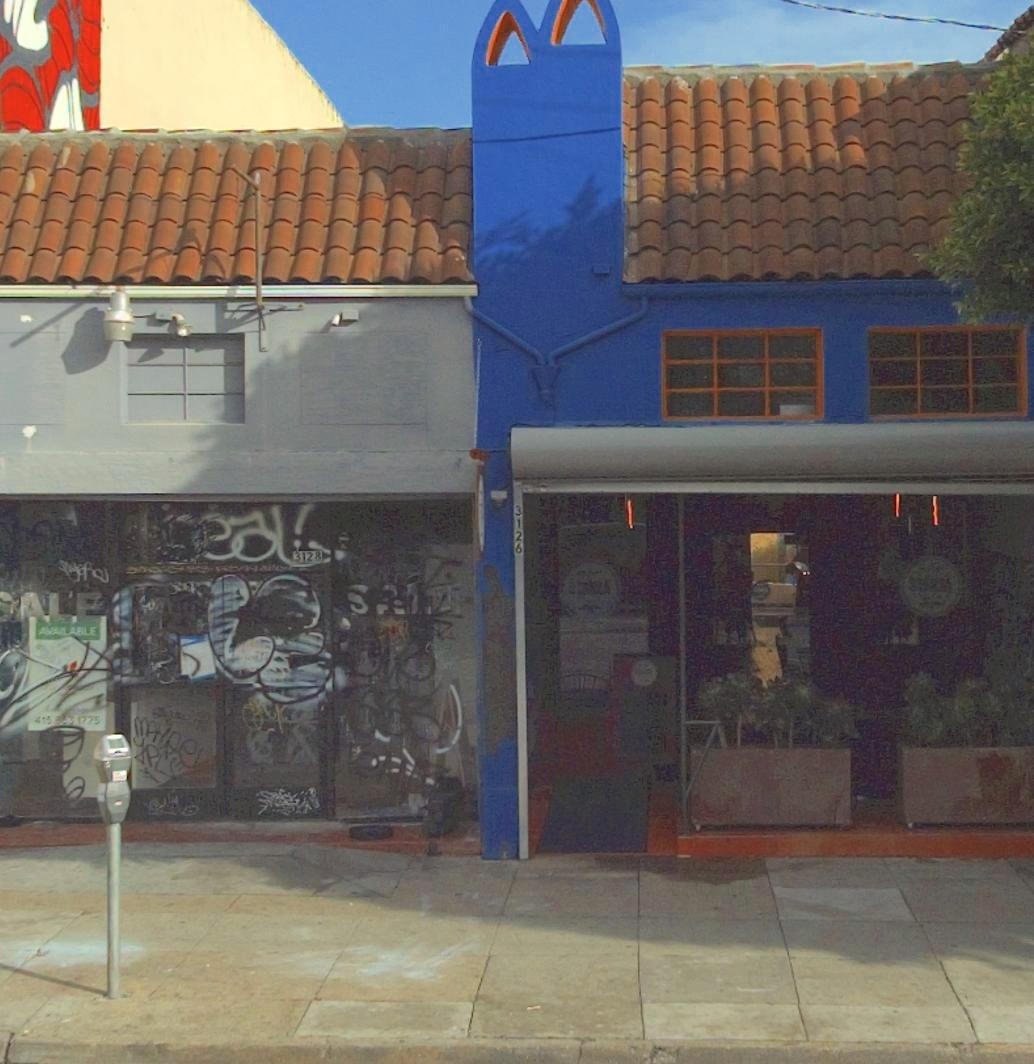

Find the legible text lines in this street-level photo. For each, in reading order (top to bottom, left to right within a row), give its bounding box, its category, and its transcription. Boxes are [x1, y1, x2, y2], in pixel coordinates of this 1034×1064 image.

[514, 504, 523, 555] StreetNumber: 3126
[294, 551, 321, 562] StreetNumber: 3128
[38, 626, 97, 635] None: AVAILABLE
[34, 716, 100, 725] None: 415-563-1775